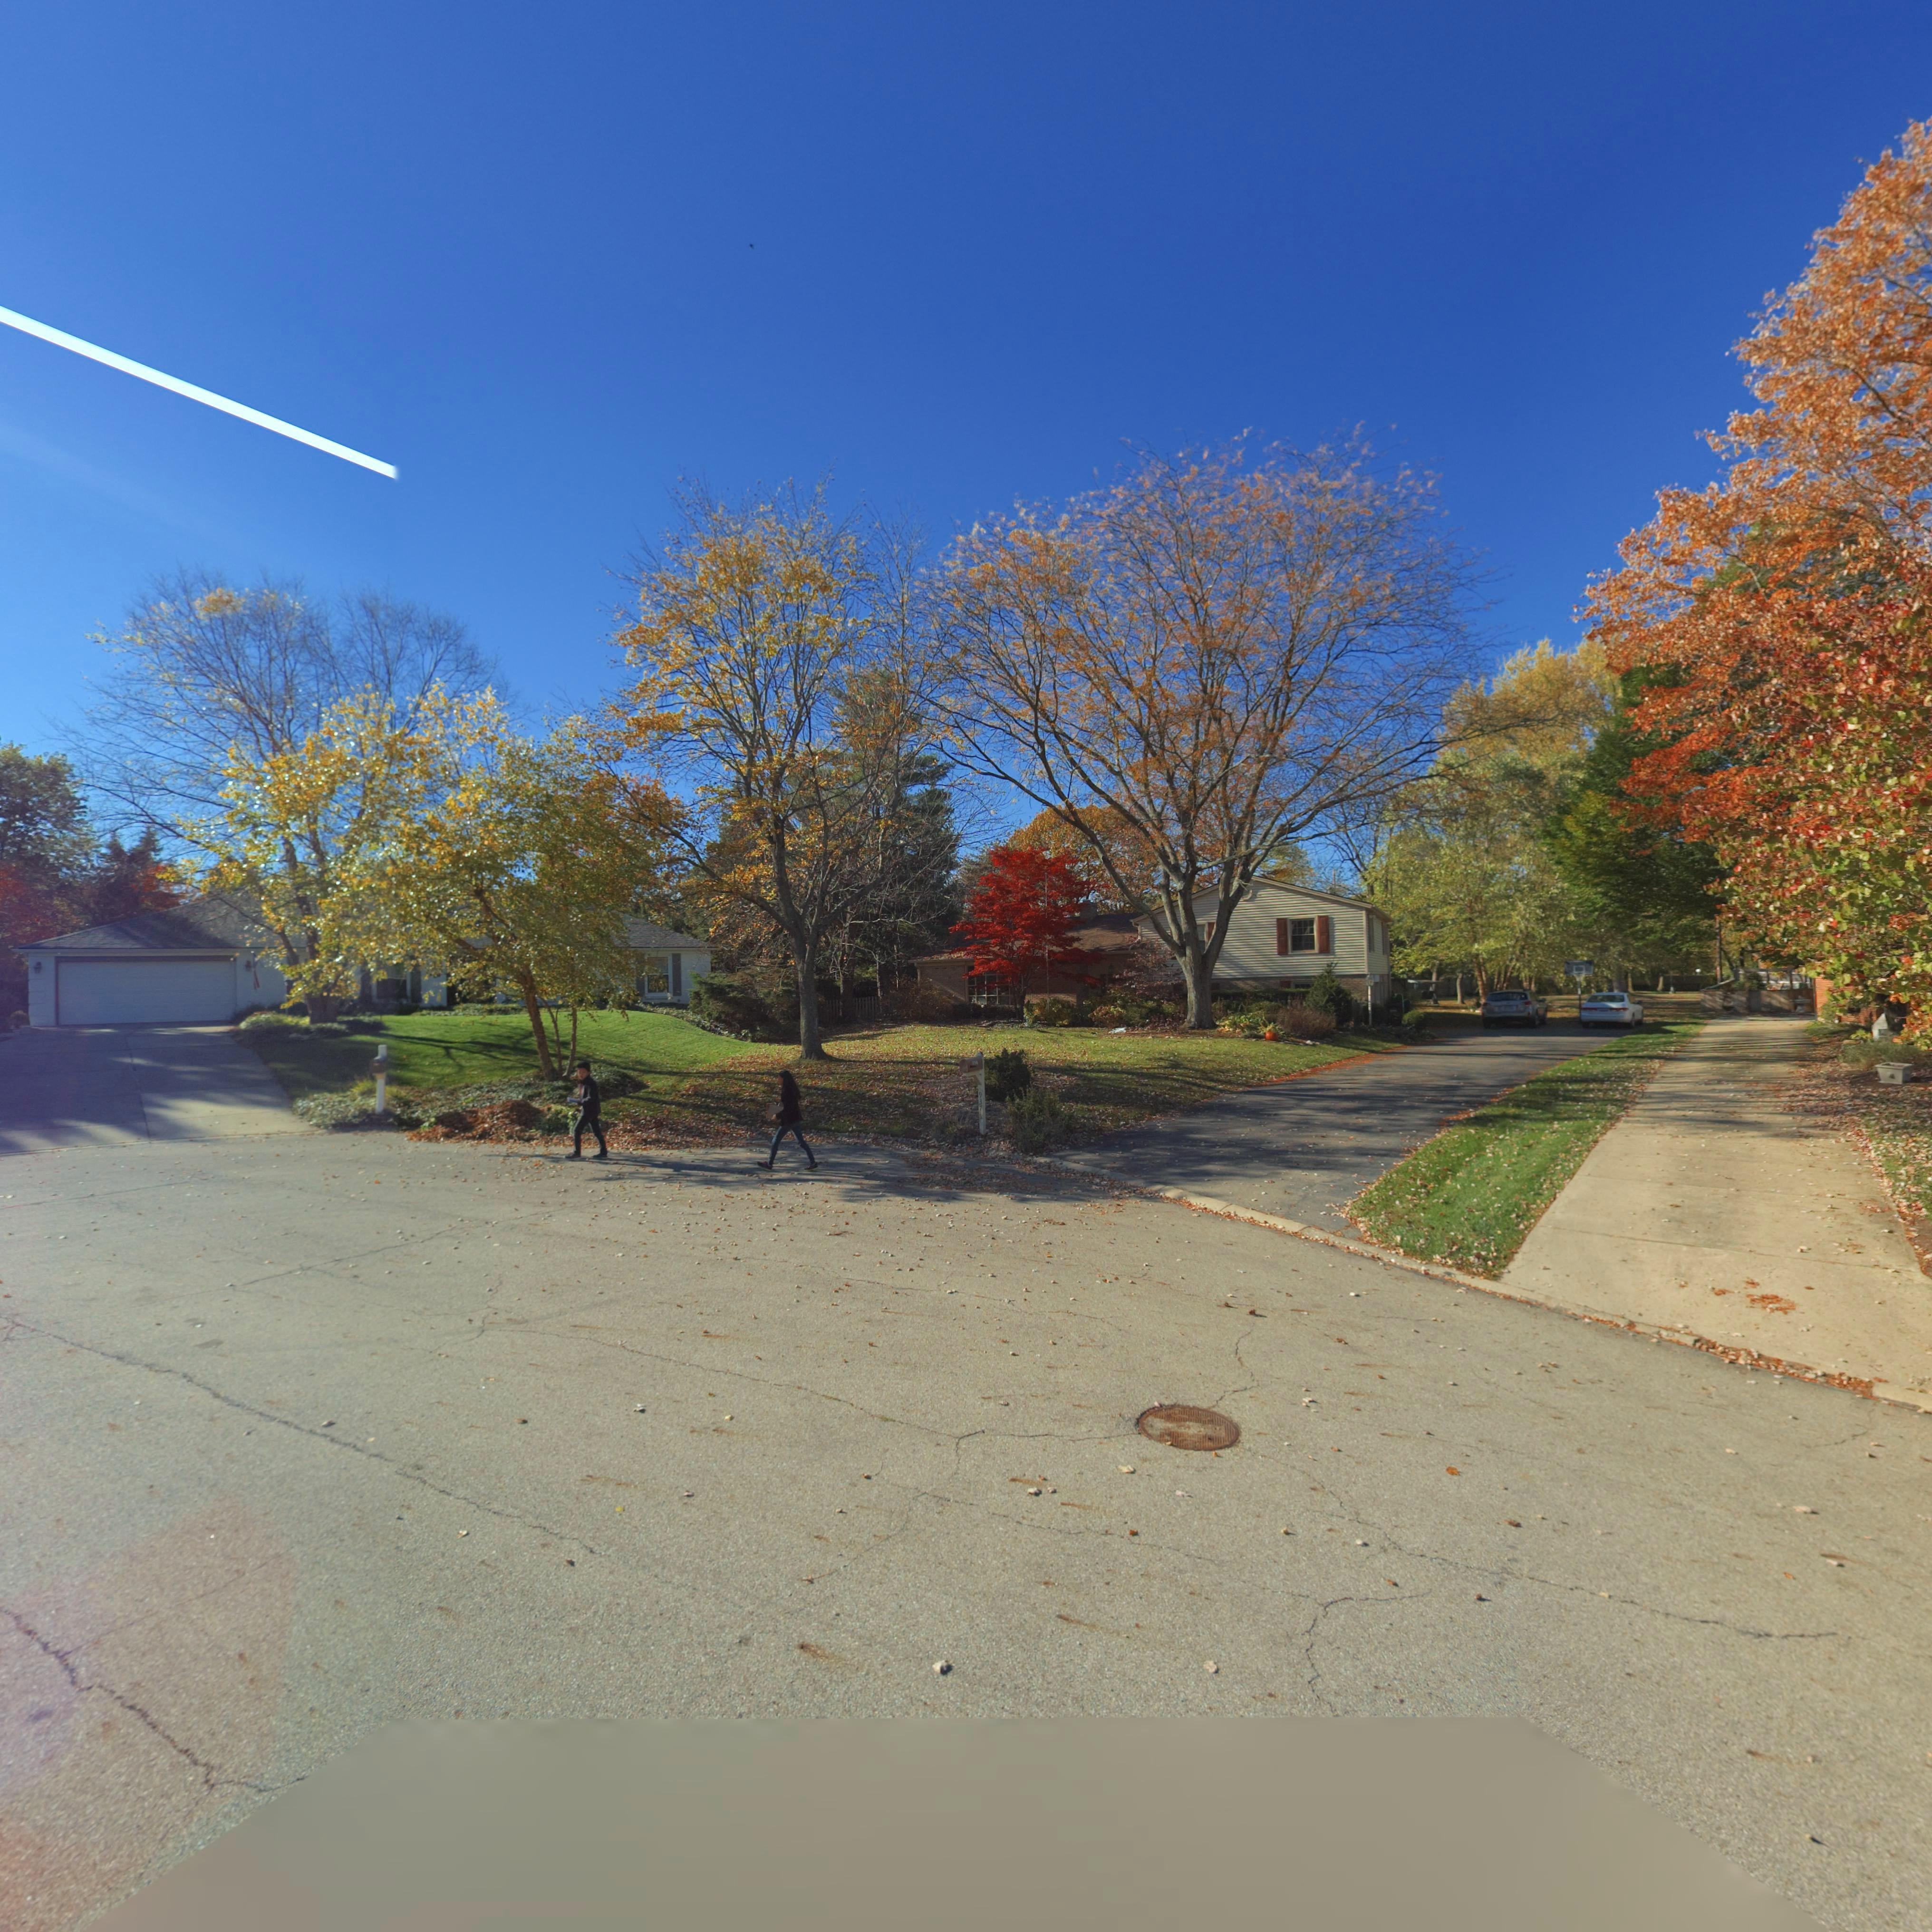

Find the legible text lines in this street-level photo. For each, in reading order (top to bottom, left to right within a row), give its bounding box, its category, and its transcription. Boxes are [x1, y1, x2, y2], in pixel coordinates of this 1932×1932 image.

[972, 1060, 978, 1065] StreetNumber: 937
[978, 1091, 982, 1111] StreetNumber: 937